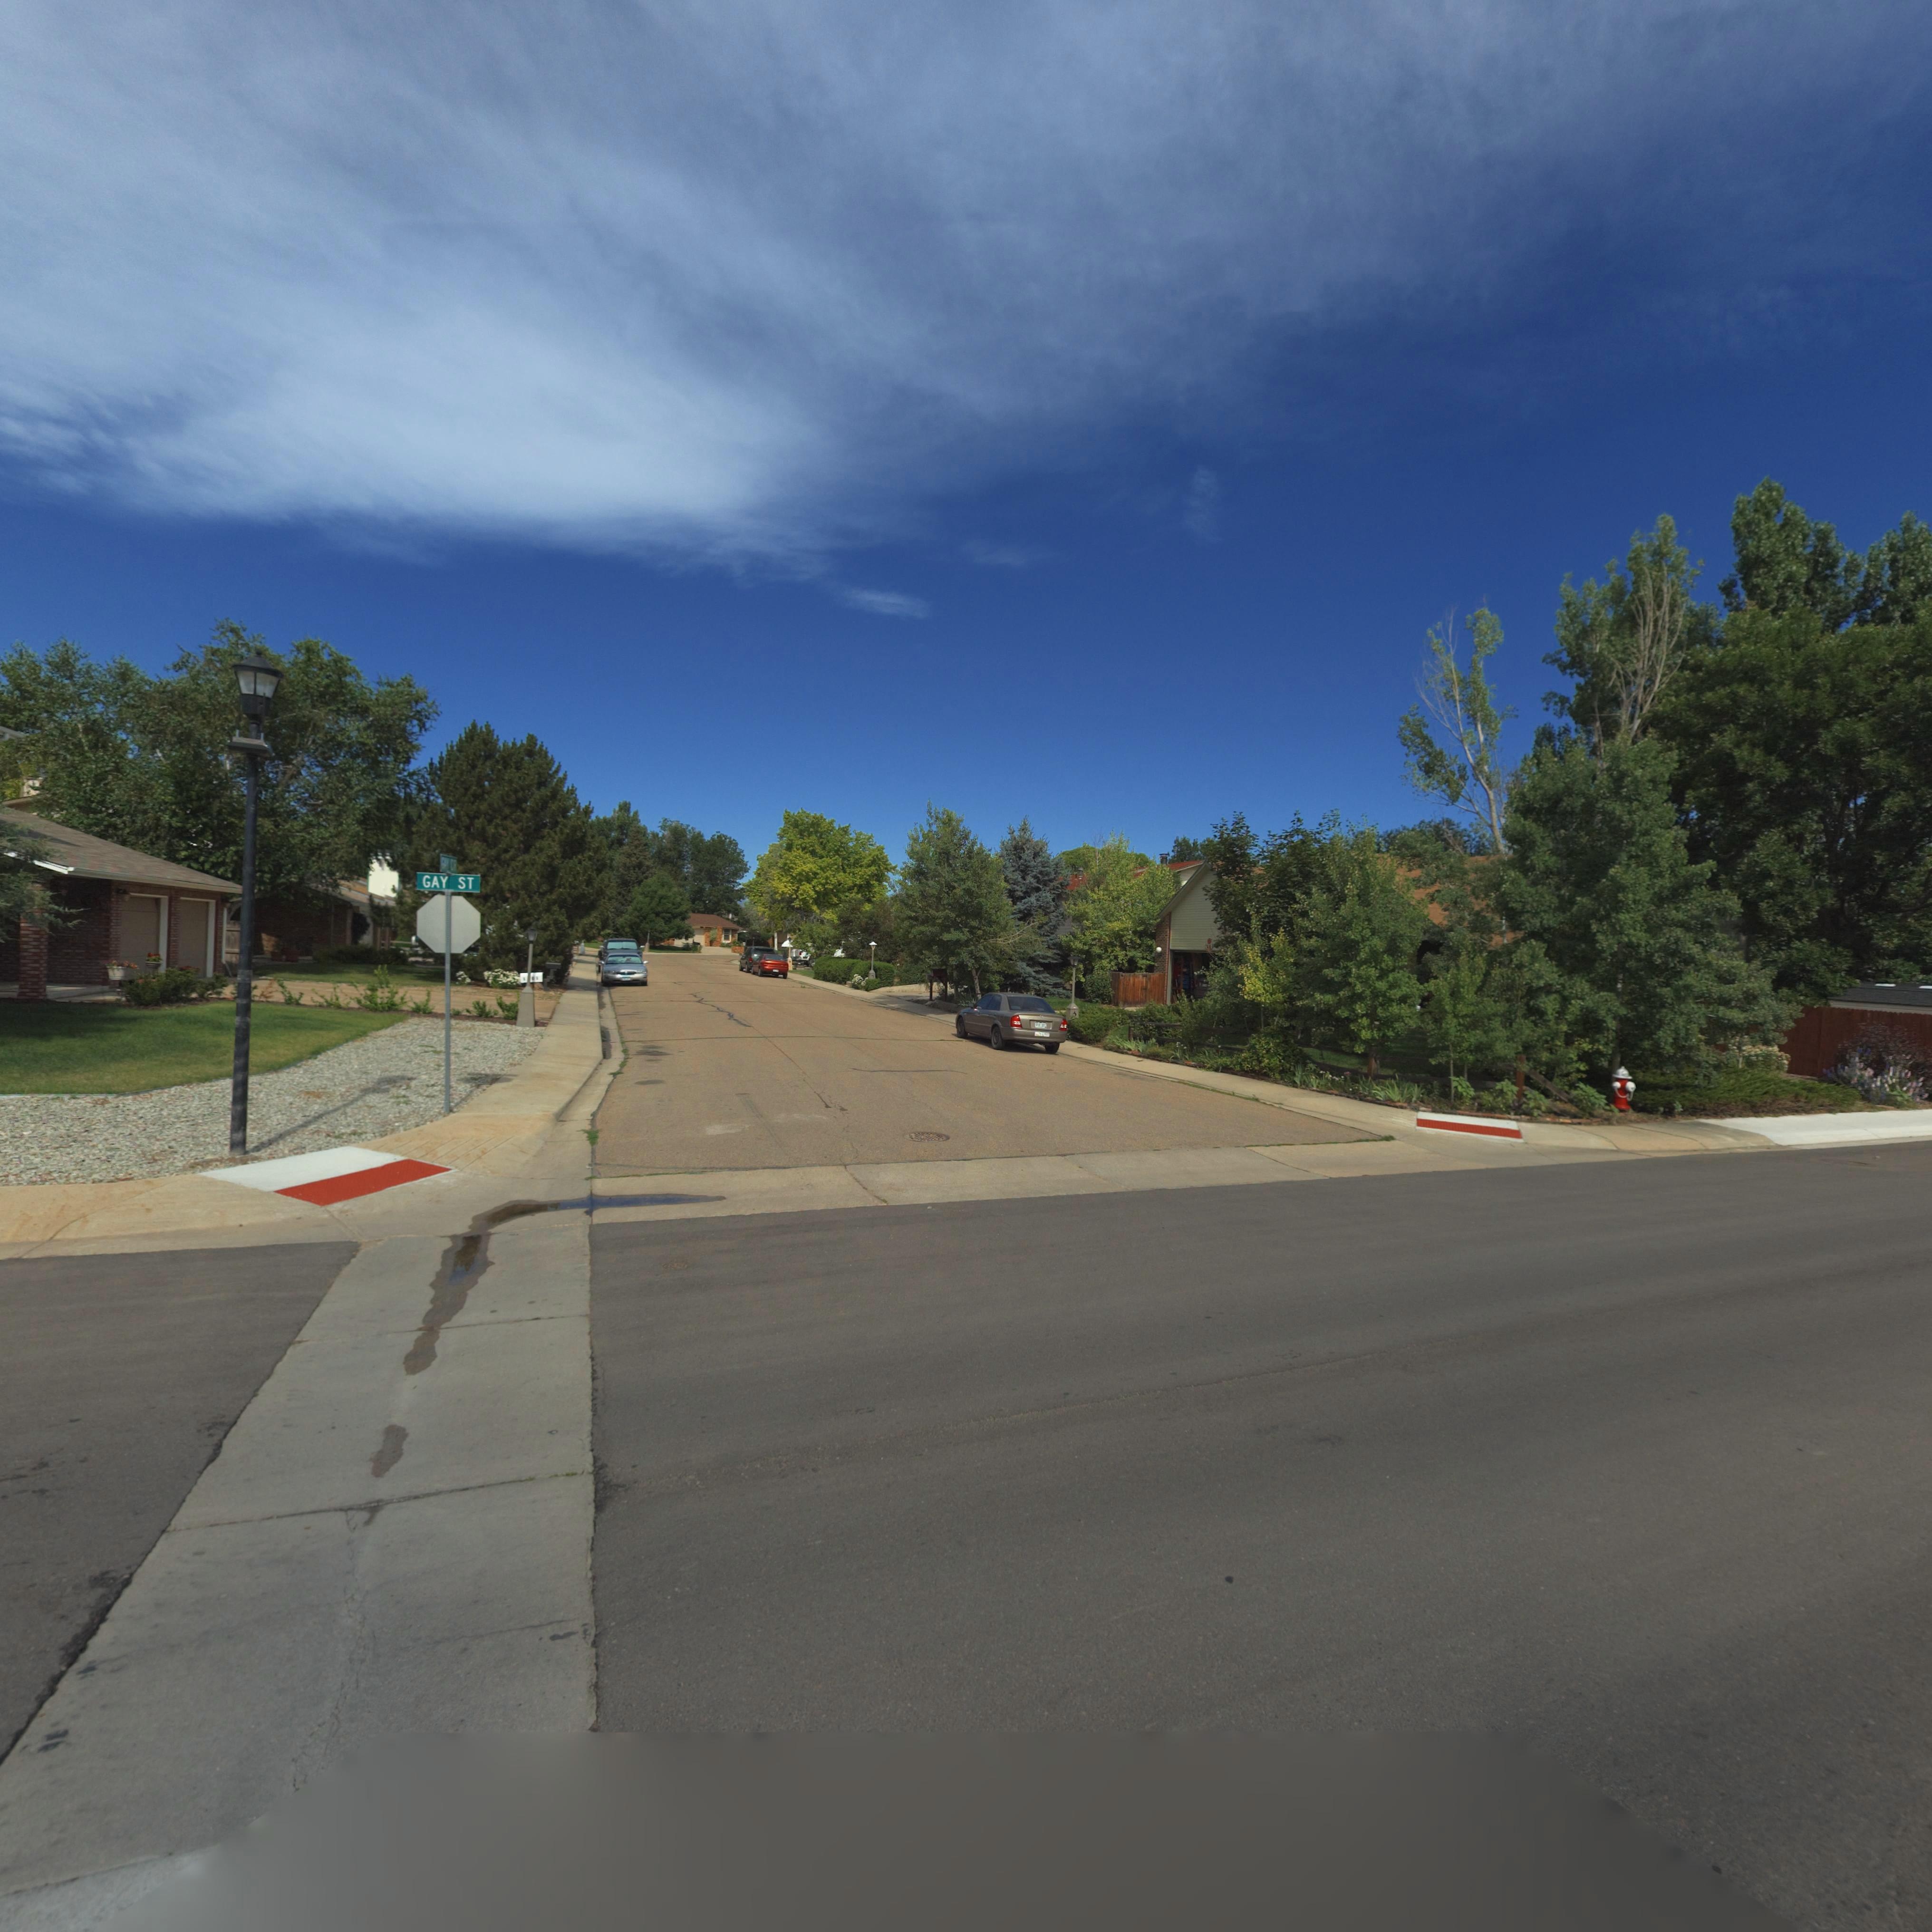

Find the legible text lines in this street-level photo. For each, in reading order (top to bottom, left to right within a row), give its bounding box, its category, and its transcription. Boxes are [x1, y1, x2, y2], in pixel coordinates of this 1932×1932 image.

[440, 856, 456, 871] StreetName: GAY DR
[422, 874, 474, 889] StreetName: GAY ST
[522, 976, 539, 981] StreetNumber: 1*01